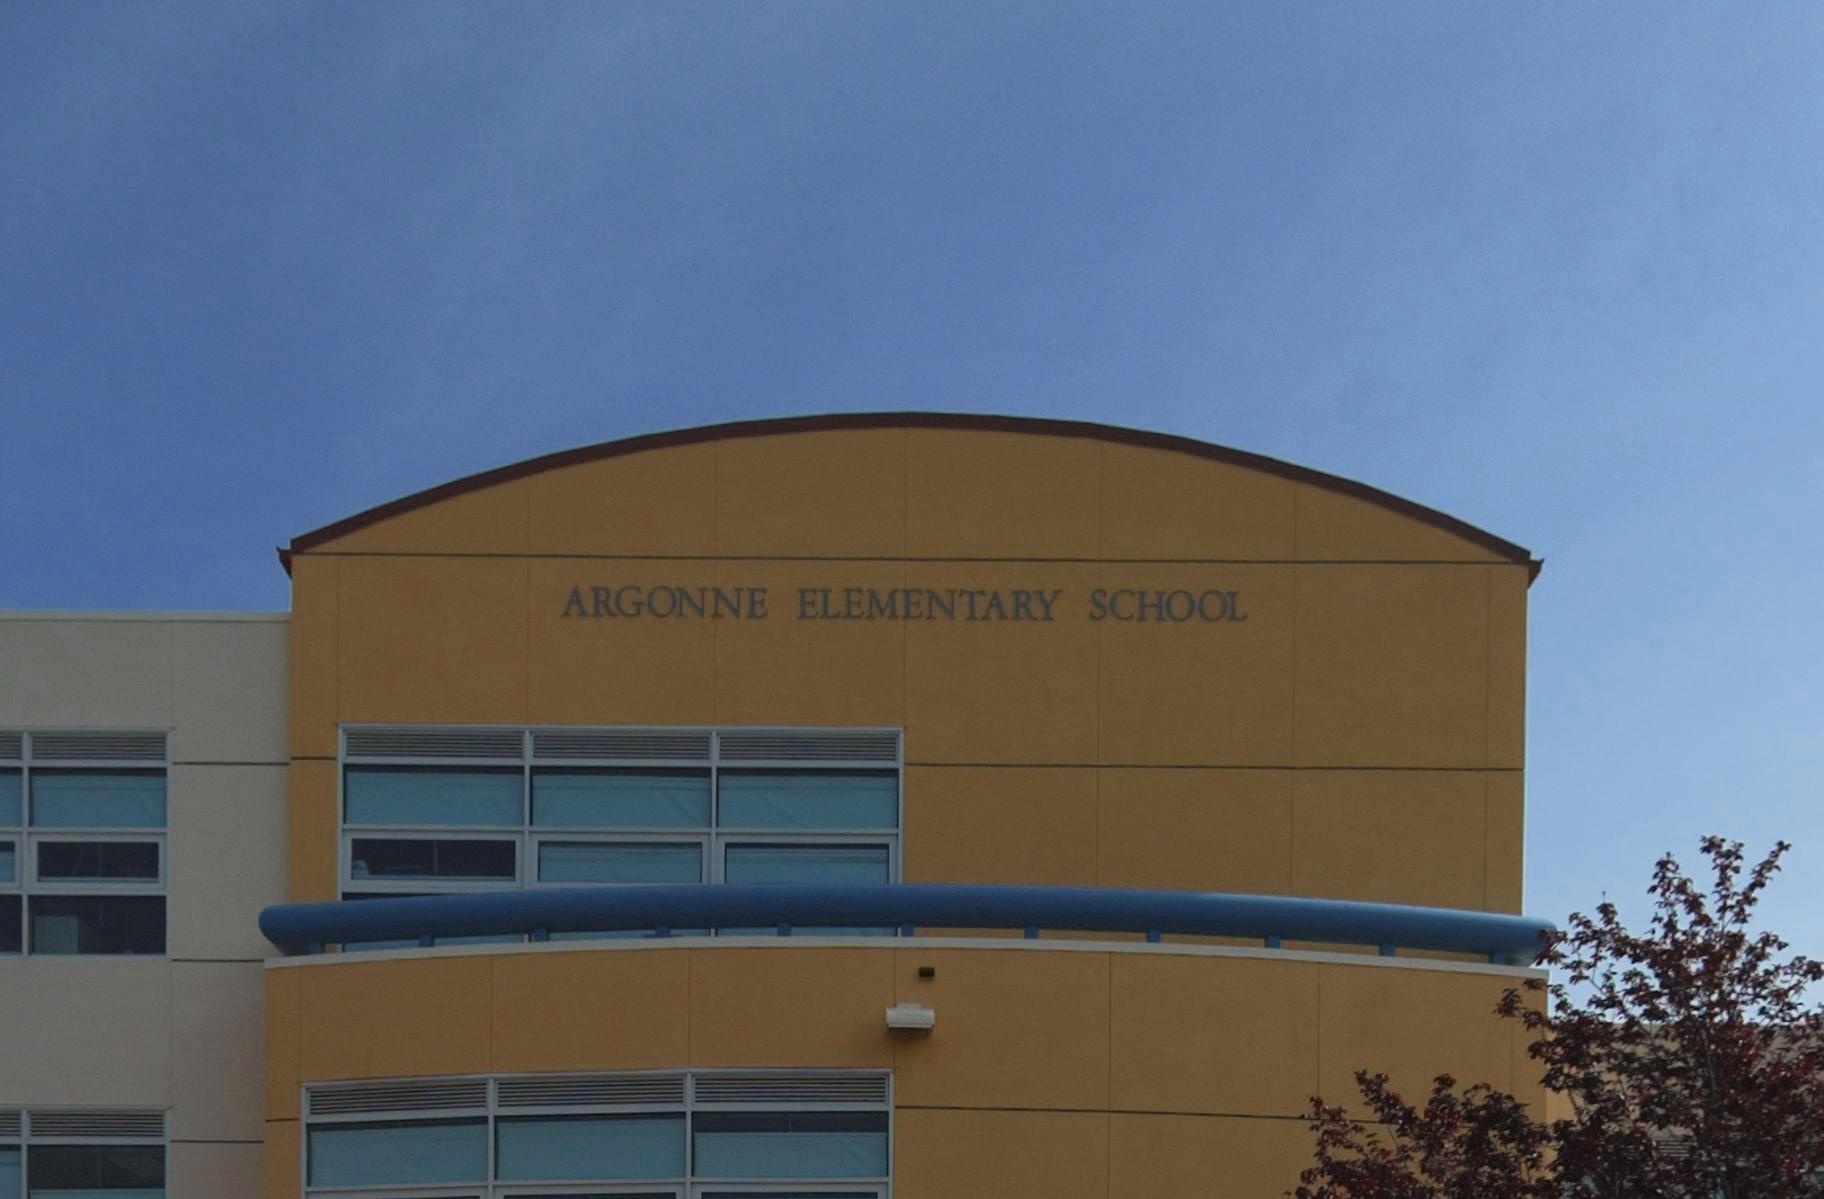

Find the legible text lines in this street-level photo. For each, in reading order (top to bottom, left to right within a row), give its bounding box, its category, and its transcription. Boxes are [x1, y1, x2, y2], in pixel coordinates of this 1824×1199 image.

[556, 581, 1254, 626] BusinessName: ARGONNE ELEMENTARY SCHOOL